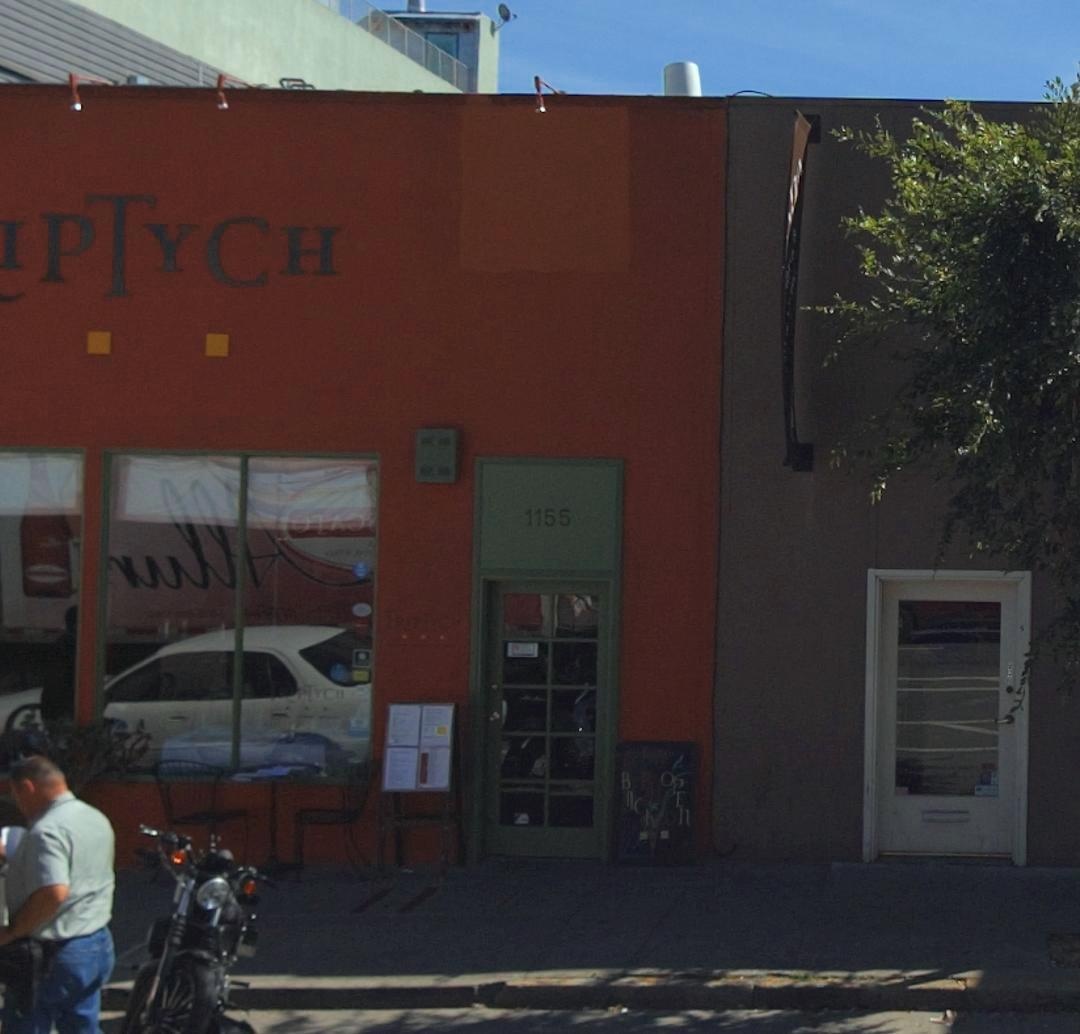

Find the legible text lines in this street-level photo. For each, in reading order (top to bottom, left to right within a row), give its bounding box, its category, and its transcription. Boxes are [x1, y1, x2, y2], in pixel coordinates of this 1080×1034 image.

[1, 188, 351, 302] BusinessName: IPTYCH
[119, 470, 307, 596] None: *u***
[283, 509, 370, 537] None: OTA*
[523, 505, 575, 530] StreetNumber: 1155
[294, 681, 347, 704] None: PTYCH
[618, 765, 659, 832] None: B
[655, 767, 692, 829] None: OPEN